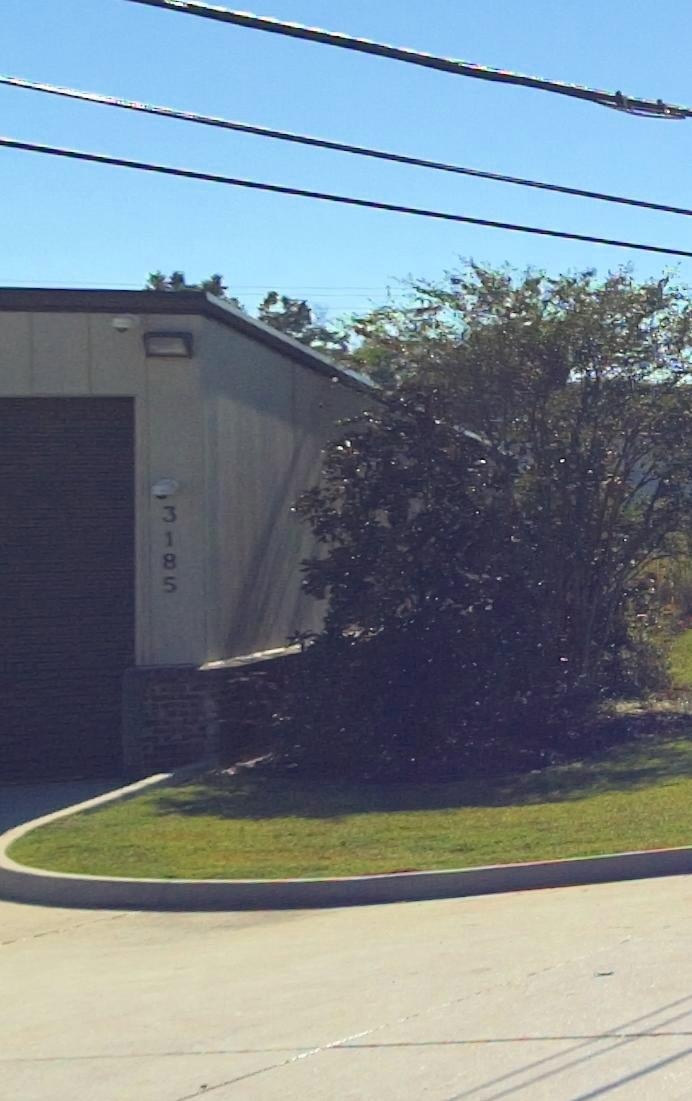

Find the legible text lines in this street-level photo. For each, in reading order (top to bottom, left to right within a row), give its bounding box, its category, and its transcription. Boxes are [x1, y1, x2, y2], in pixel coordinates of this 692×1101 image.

[159, 503, 180, 596] StreetNumber: 3185